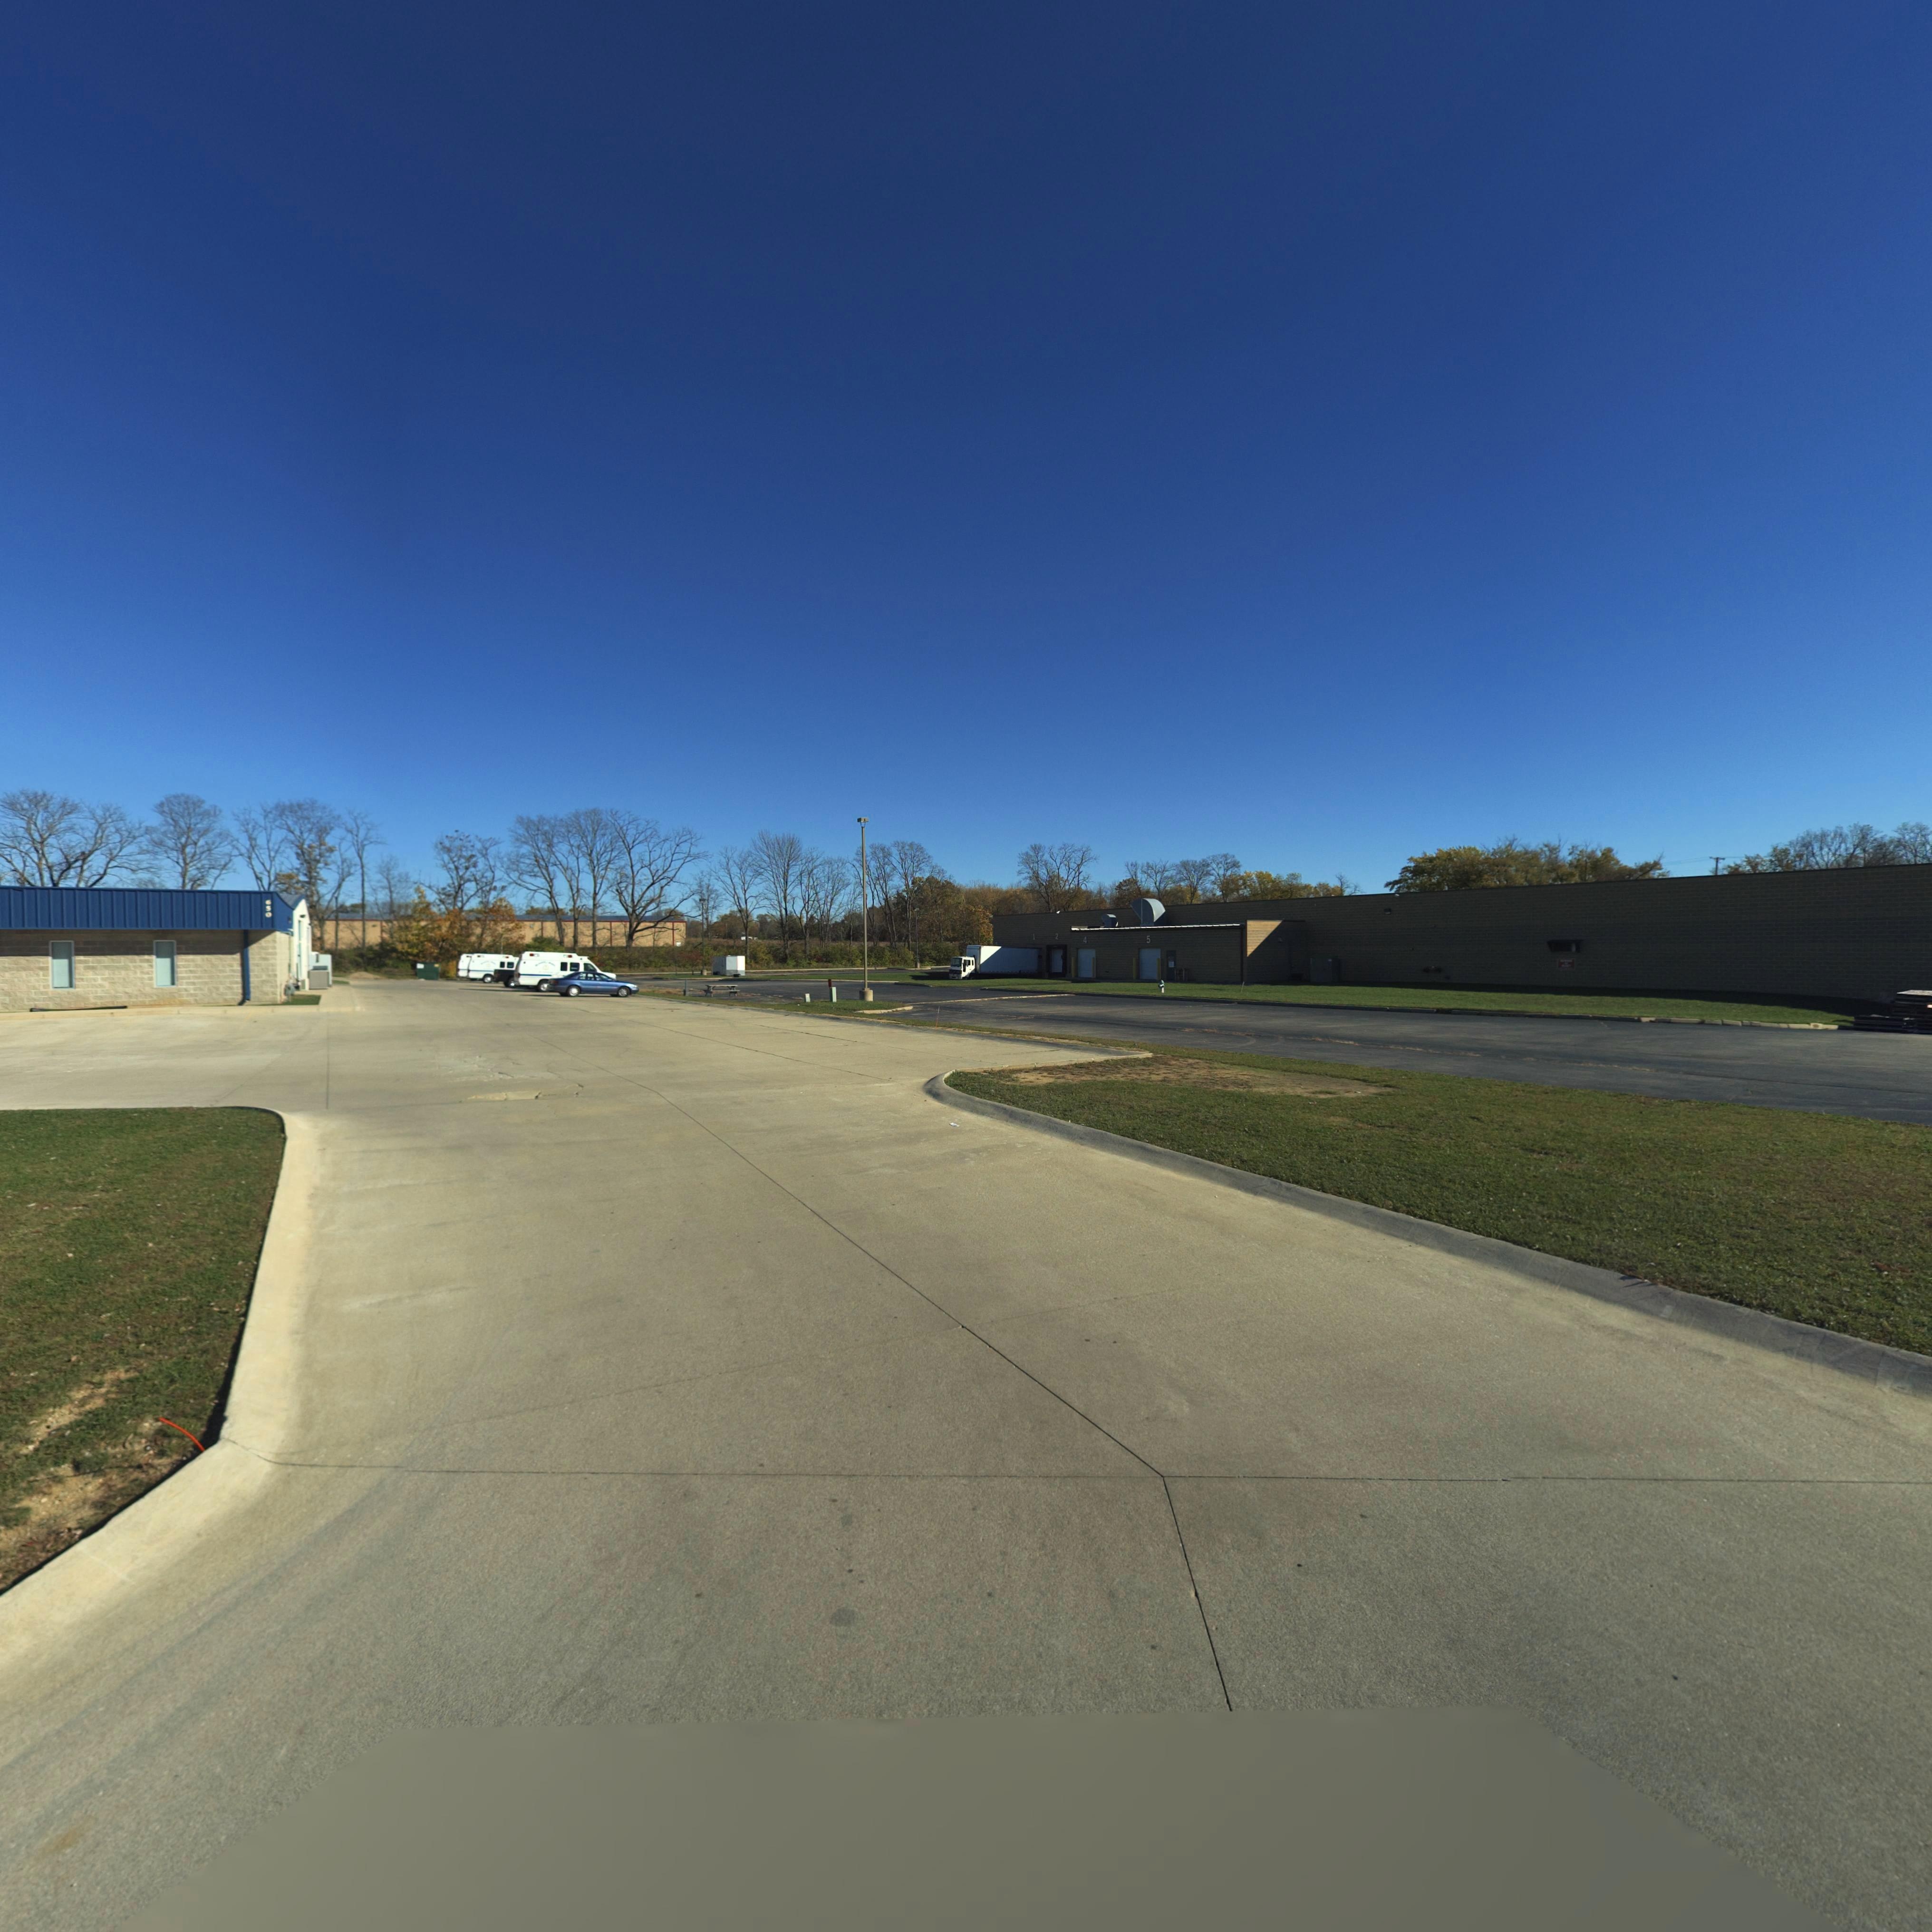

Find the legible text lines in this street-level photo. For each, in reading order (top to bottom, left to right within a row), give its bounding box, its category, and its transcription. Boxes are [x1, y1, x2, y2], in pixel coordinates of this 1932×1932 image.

[264, 899, 272, 918] StreetNumber: 650